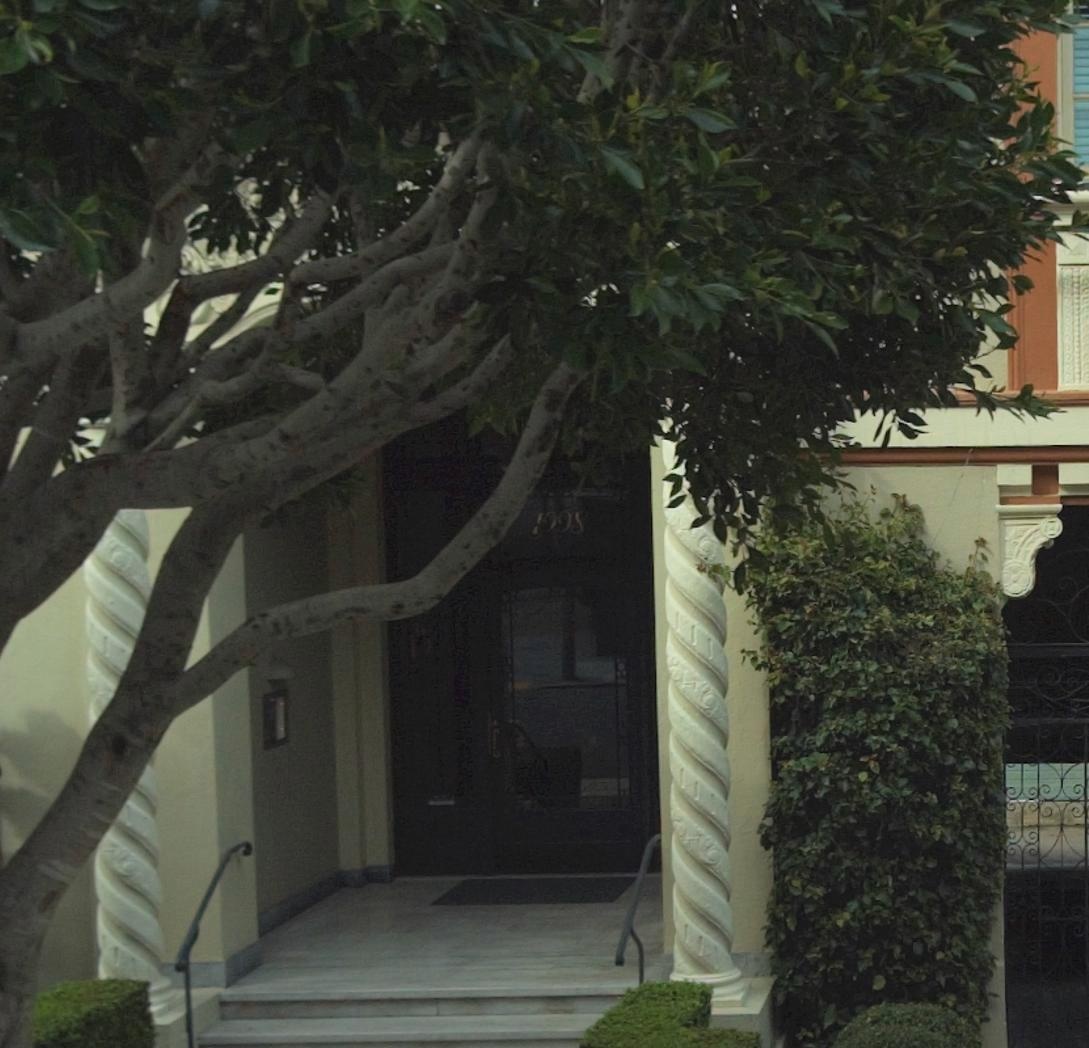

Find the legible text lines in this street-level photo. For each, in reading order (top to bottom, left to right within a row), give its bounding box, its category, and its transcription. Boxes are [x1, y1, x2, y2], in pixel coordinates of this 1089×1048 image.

[526, 507, 591, 538] StreetNumber: 1998